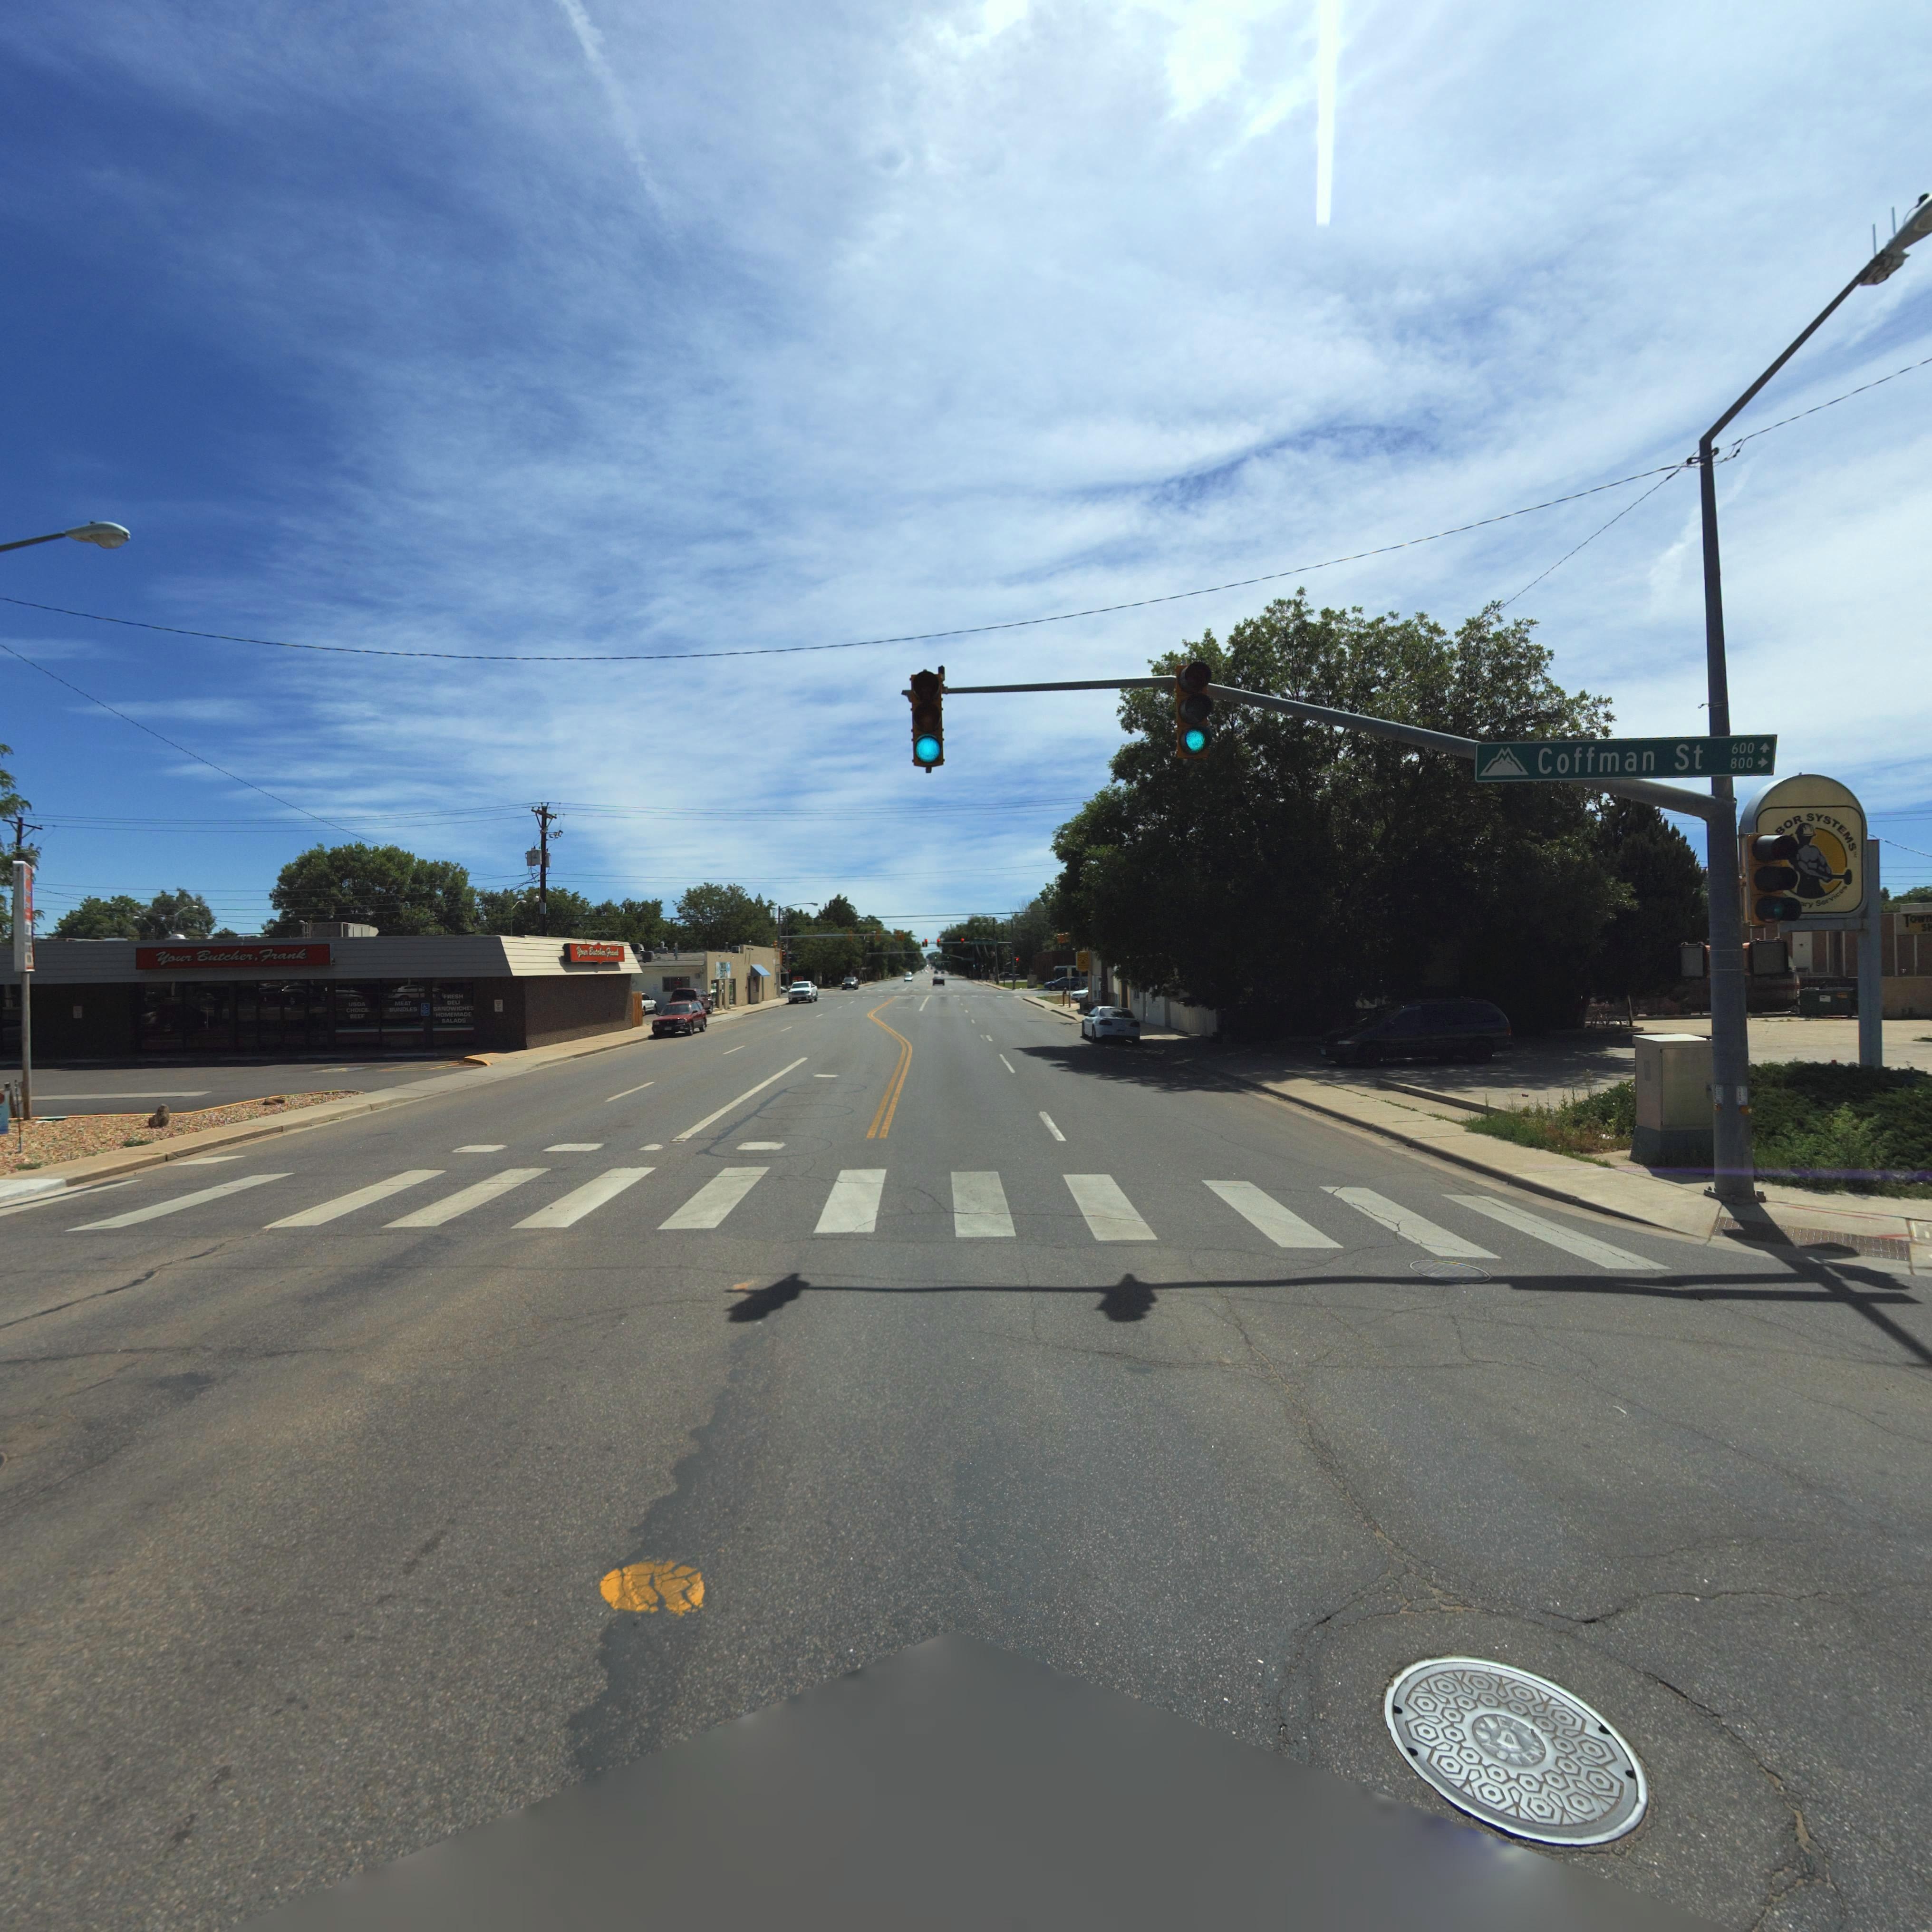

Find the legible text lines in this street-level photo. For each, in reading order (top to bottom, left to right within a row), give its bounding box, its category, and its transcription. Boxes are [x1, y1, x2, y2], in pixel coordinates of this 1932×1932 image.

[1730, 741, 1756, 754] StreetNumberRange: 600
[1536, 743, 1704, 775] StreetName: Coffman St
[1729, 756, 1770, 769] StreetNumberRange: 800->
[1773, 812, 1858, 852] BusinessName: BOR SYSTEMS
[155, 948, 308, 967] BusinessName: Your Butcher, Frank
[576, 945, 619, 958] BusinessName: Y*** B*tche** *****